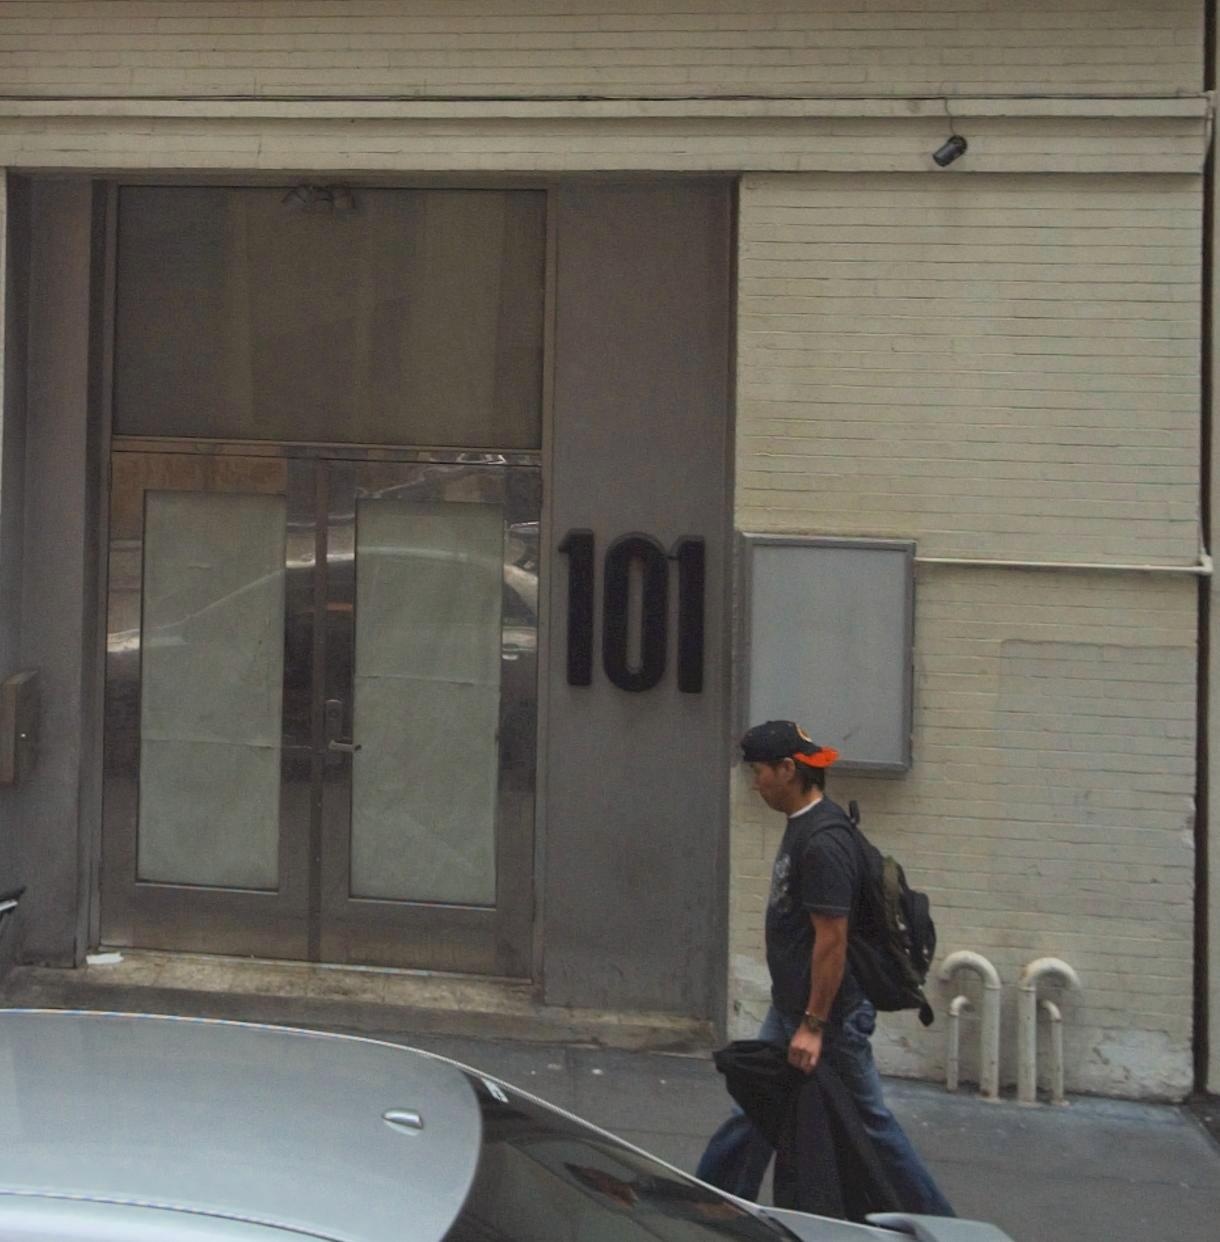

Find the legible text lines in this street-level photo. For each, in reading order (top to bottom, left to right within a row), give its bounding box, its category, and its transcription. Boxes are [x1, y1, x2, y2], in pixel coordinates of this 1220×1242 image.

[553, 526, 711, 699] StreetNumber: 101